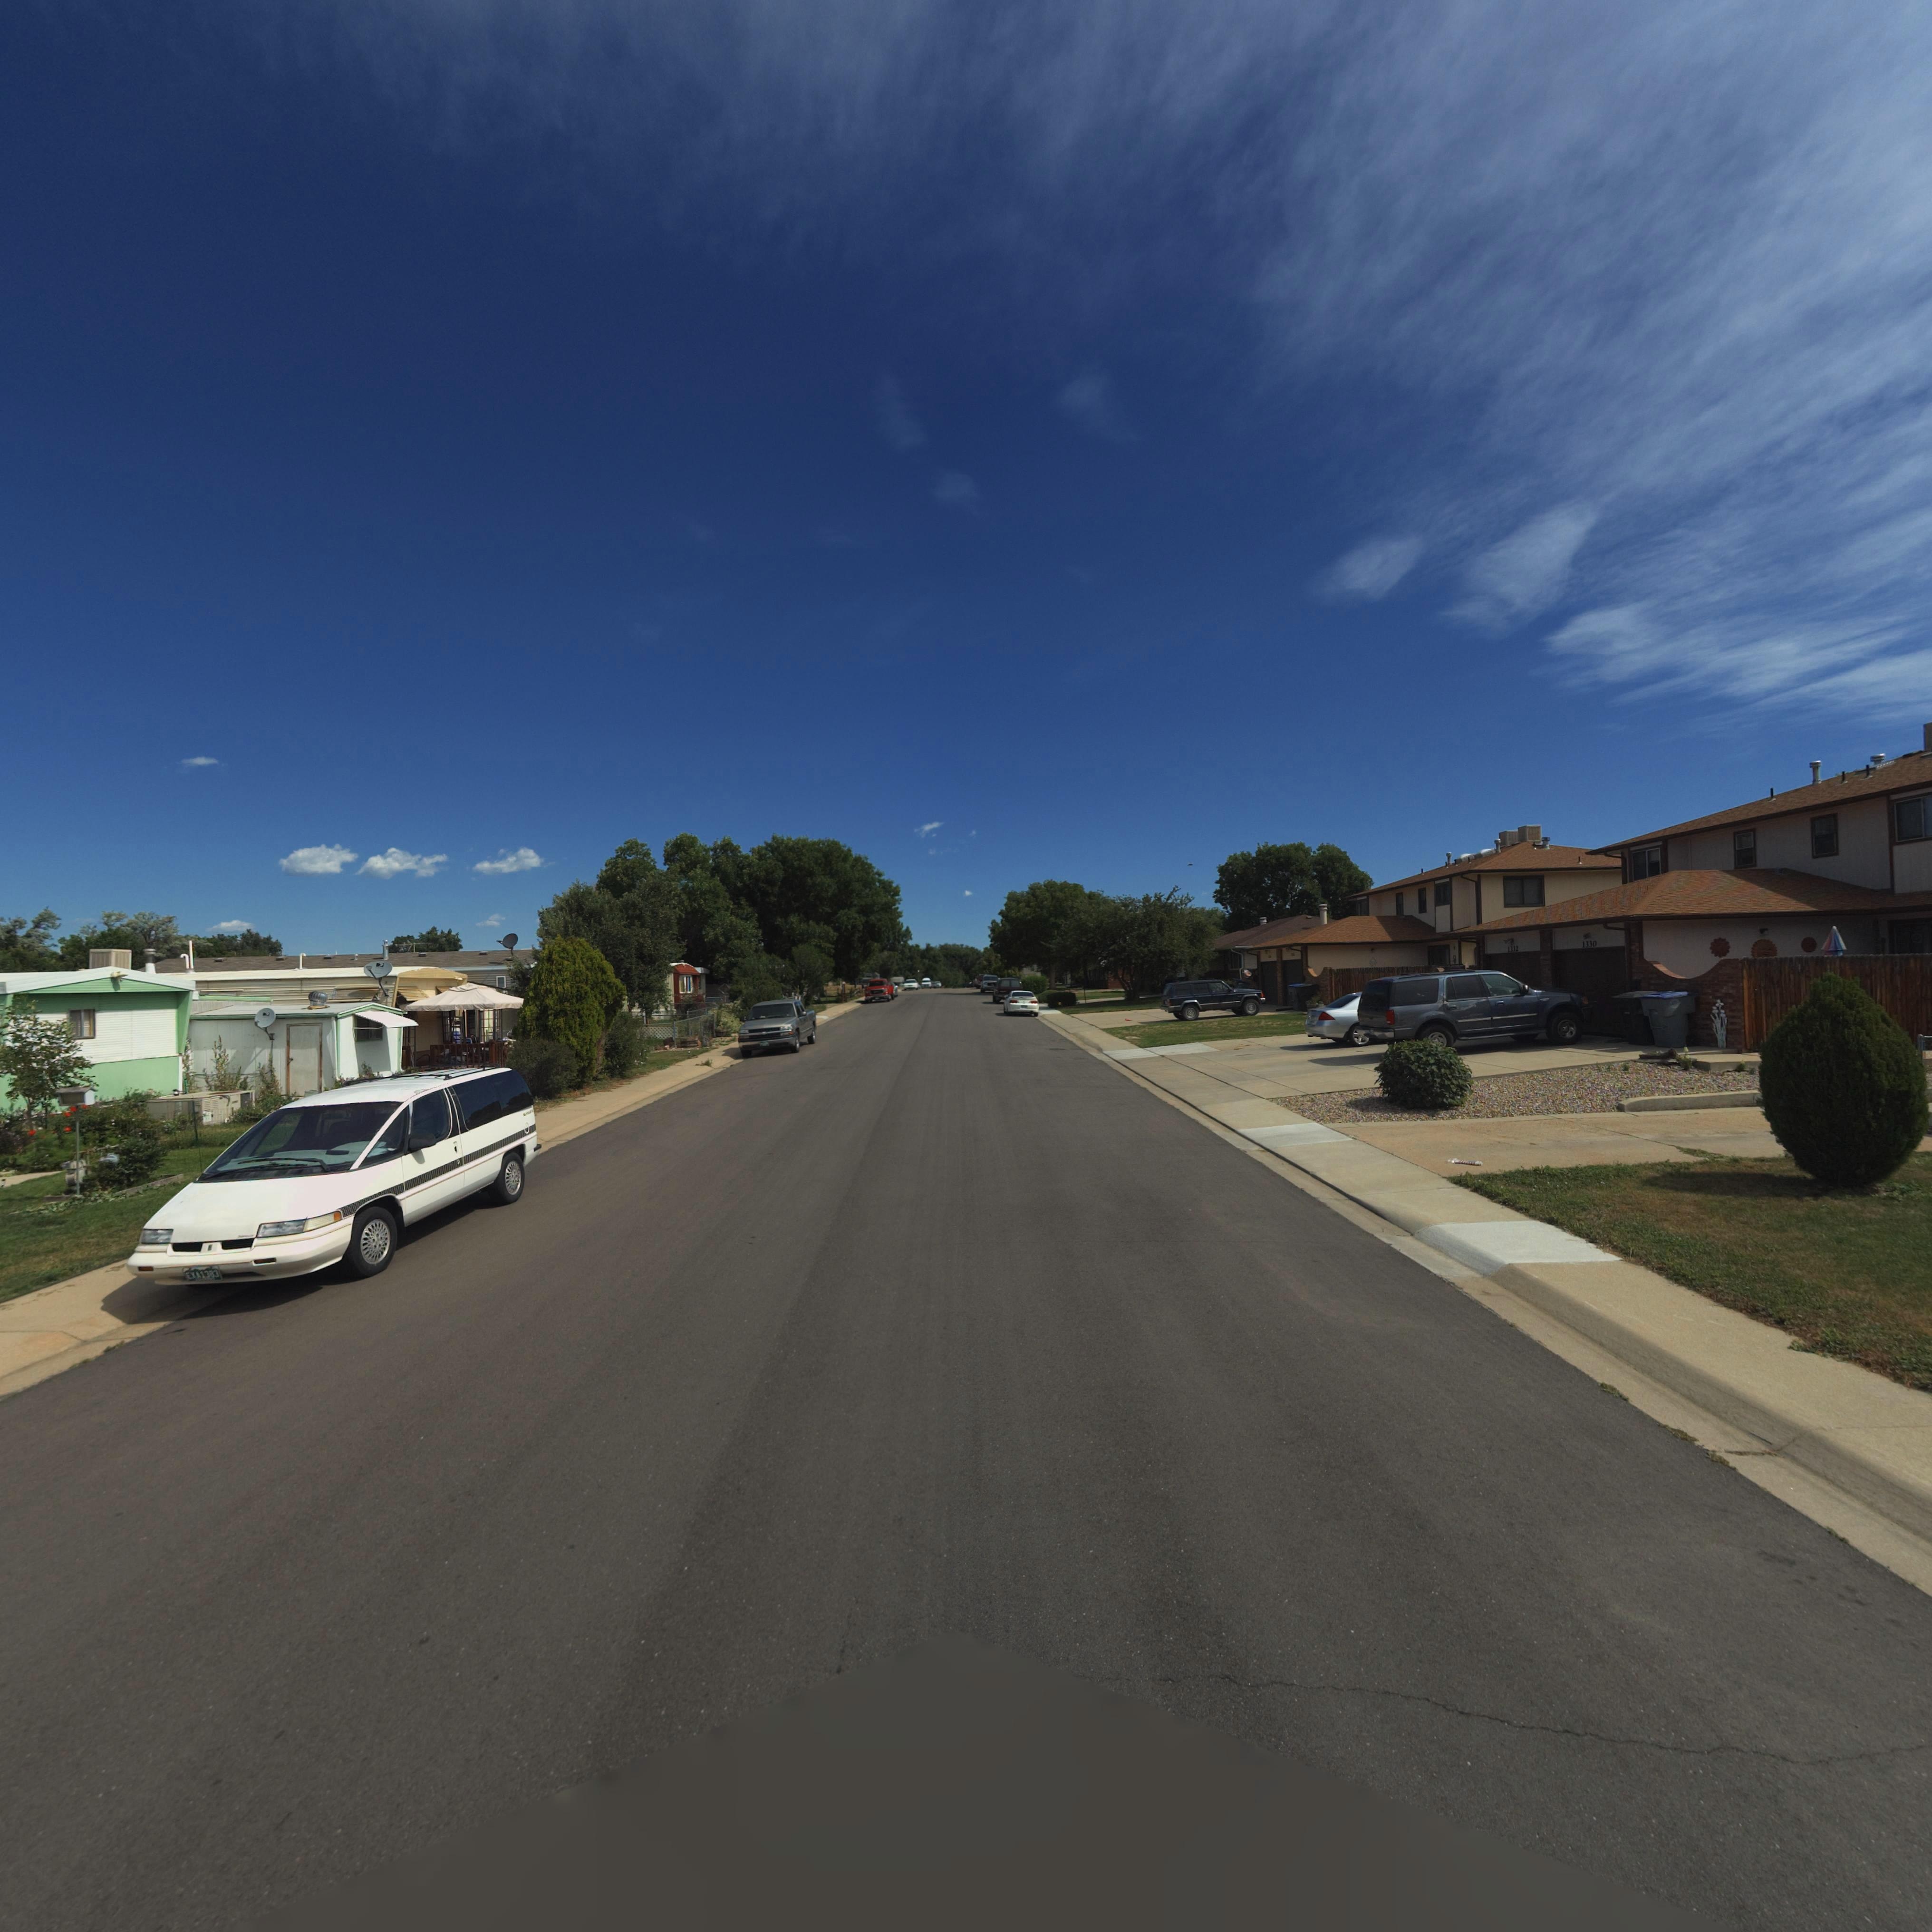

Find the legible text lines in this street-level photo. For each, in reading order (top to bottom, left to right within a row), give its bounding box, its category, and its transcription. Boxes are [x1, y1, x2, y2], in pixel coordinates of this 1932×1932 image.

[1507, 945, 1519, 952] StreetNumber: 1332
[1581, 940, 1597, 948] StreetNumber: 1330